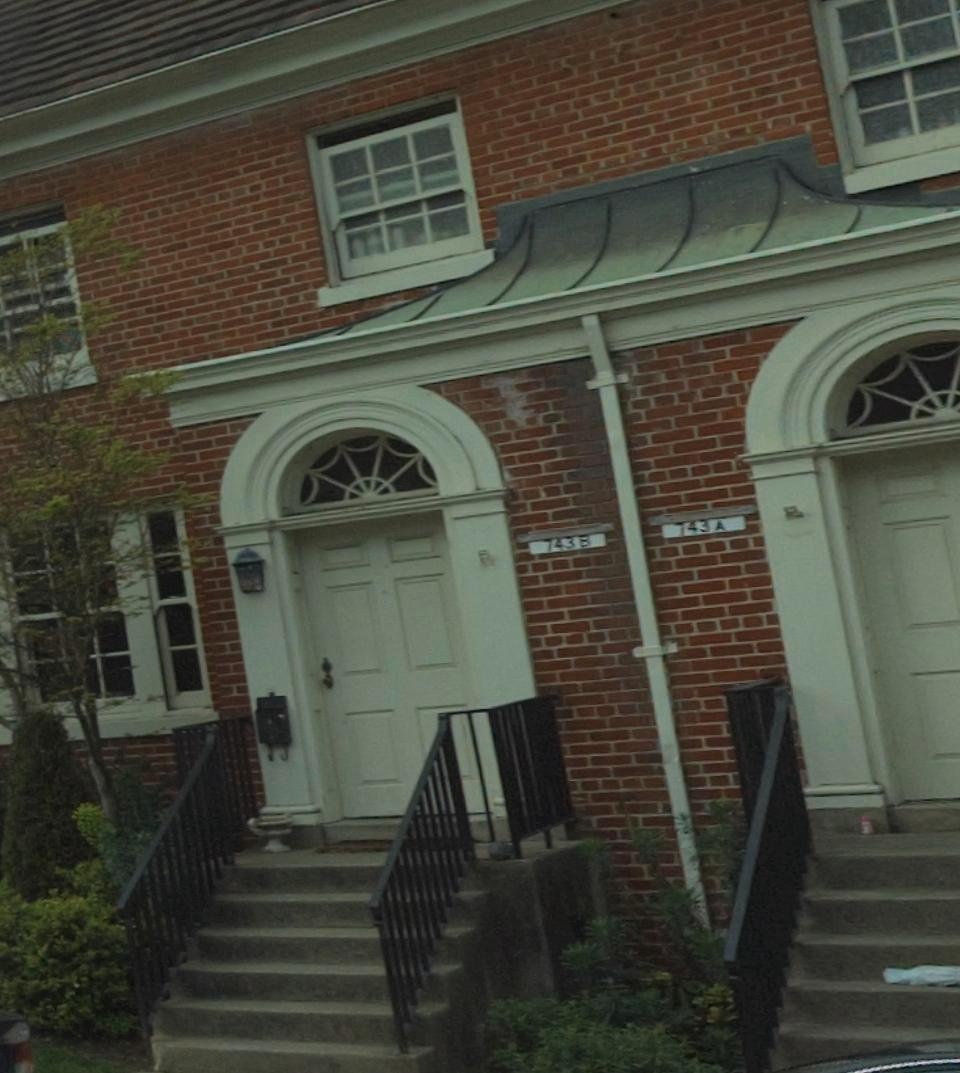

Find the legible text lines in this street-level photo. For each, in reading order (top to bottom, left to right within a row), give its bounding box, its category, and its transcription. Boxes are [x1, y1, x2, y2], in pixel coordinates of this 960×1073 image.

[674, 517, 729, 537] StreetNumber: 743 A
[542, 533, 592, 552] StreetNumber: 743 B